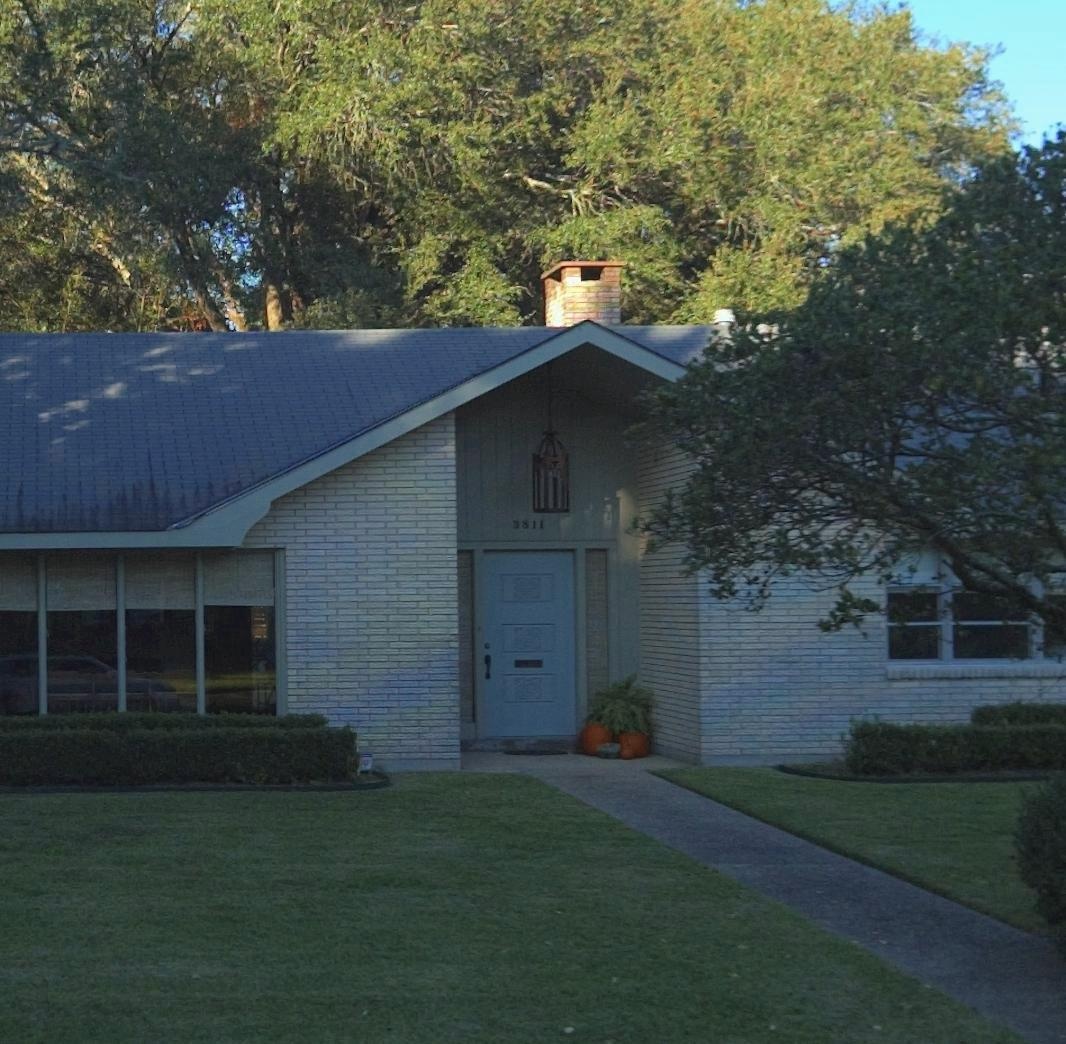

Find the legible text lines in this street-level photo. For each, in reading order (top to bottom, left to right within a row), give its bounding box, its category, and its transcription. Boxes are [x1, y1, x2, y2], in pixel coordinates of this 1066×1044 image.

[510, 517, 546, 532] StreetNumber: 3811